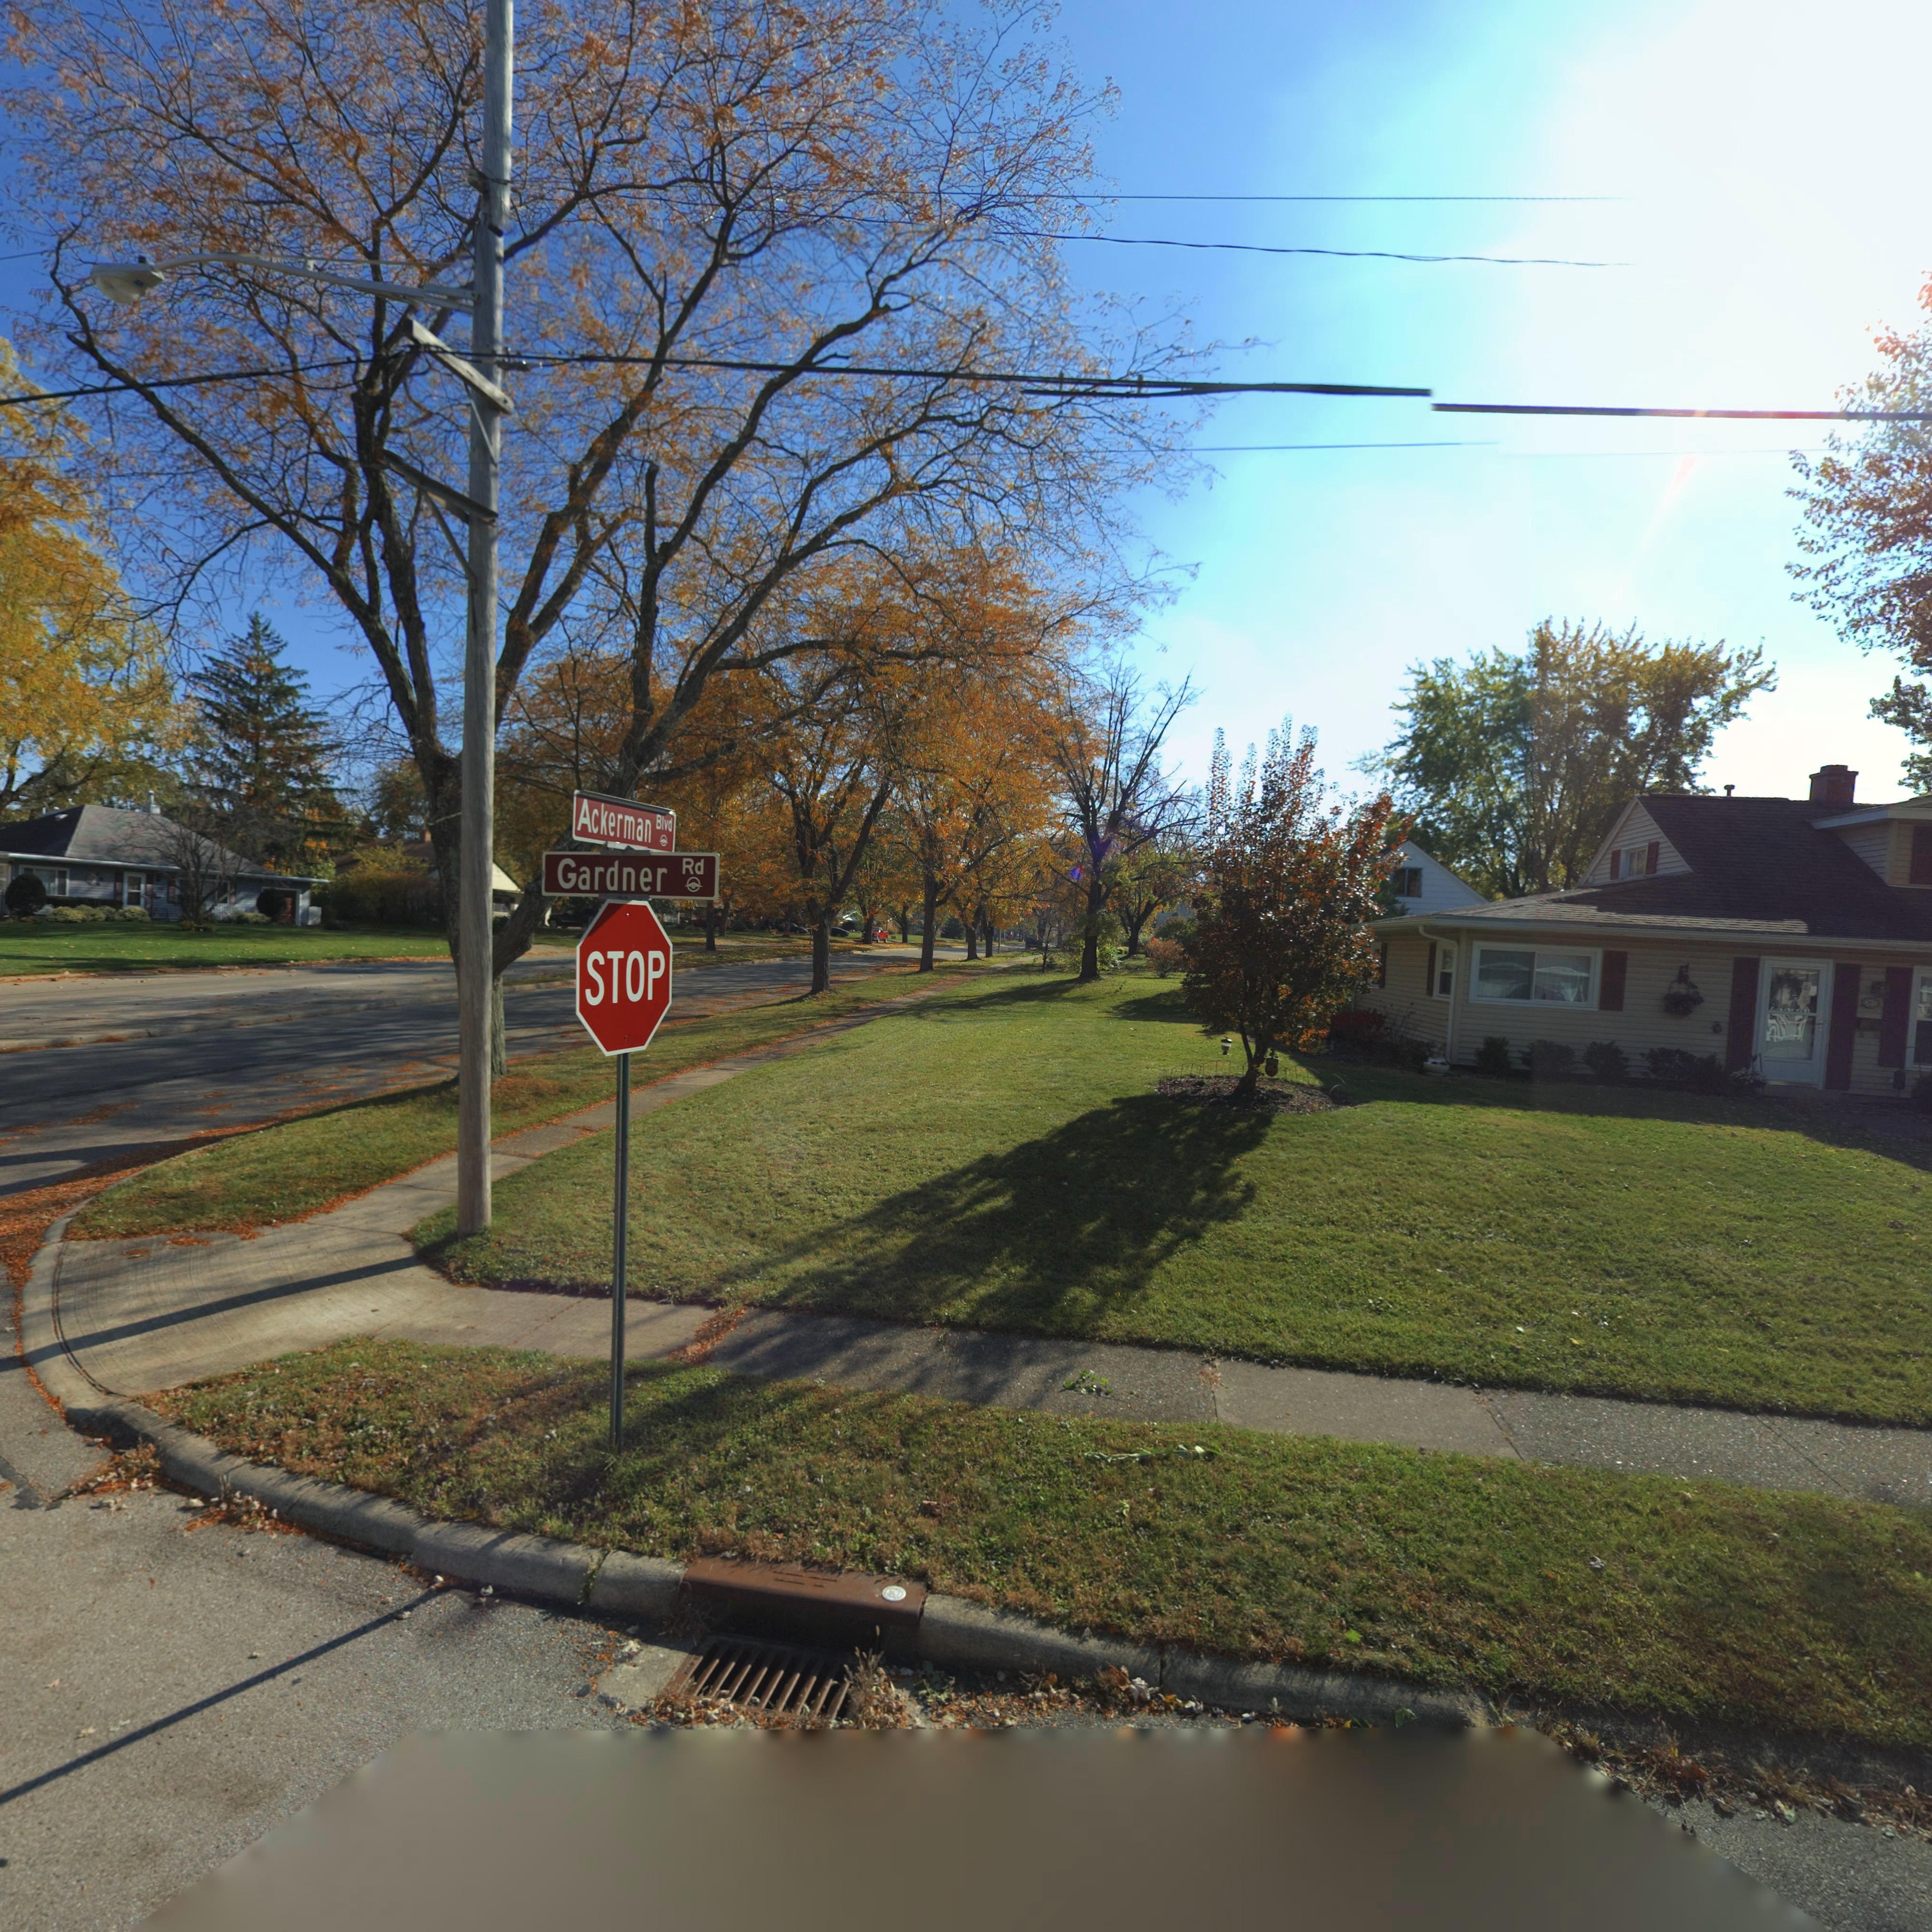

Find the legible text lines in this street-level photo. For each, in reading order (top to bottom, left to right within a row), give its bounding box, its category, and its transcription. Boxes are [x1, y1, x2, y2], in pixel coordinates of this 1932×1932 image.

[575, 797, 673, 844] StreetName: Ackerman Blvd
[557, 857, 705, 893] StreetName: Gardner Rd
[584, 950, 666, 1006] None: STOP